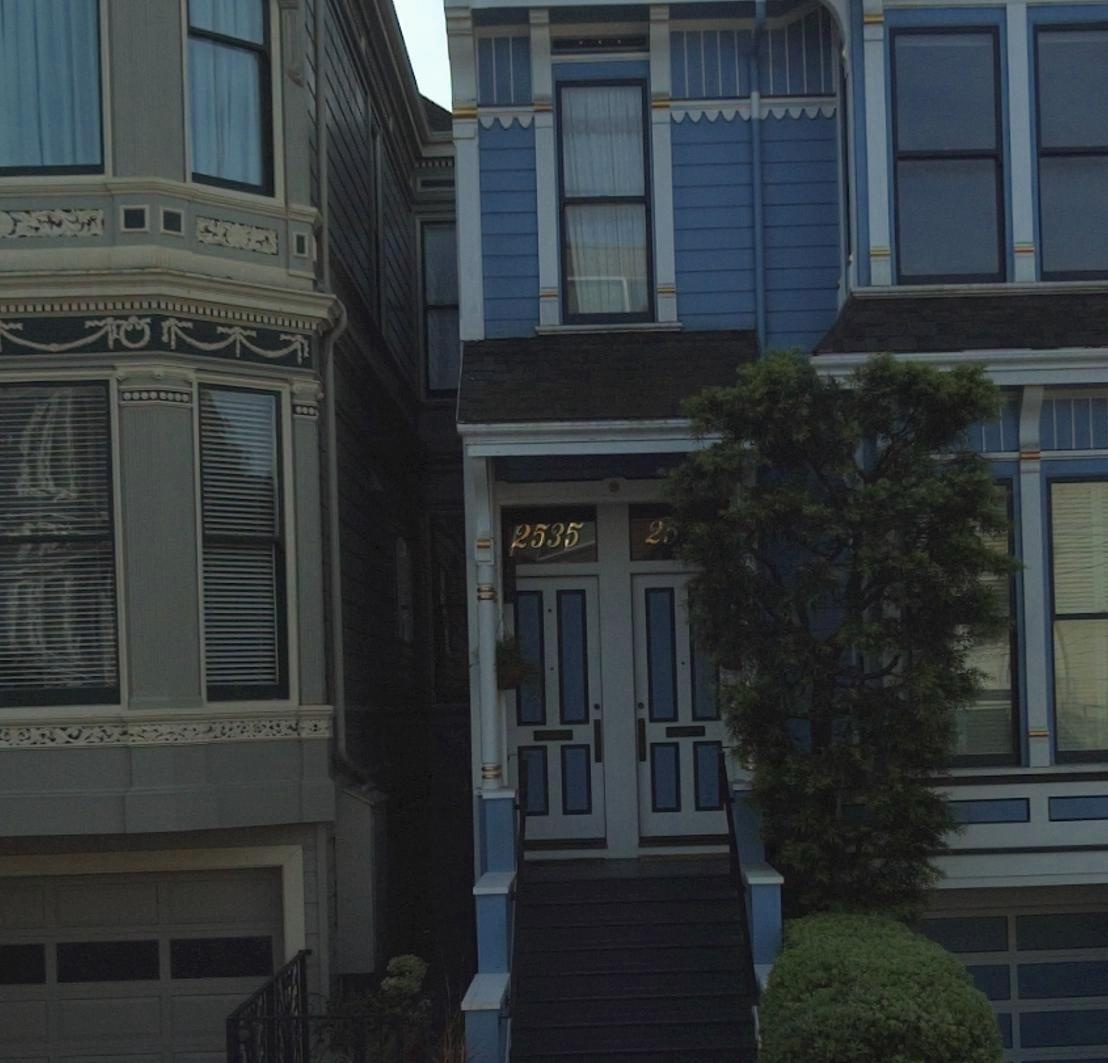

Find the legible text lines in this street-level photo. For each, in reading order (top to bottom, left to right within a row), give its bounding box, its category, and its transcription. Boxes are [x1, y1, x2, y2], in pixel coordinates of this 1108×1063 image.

[508, 519, 586, 550] StreetNumber: 2535
[643, 516, 681, 547] StreetNumber: 25